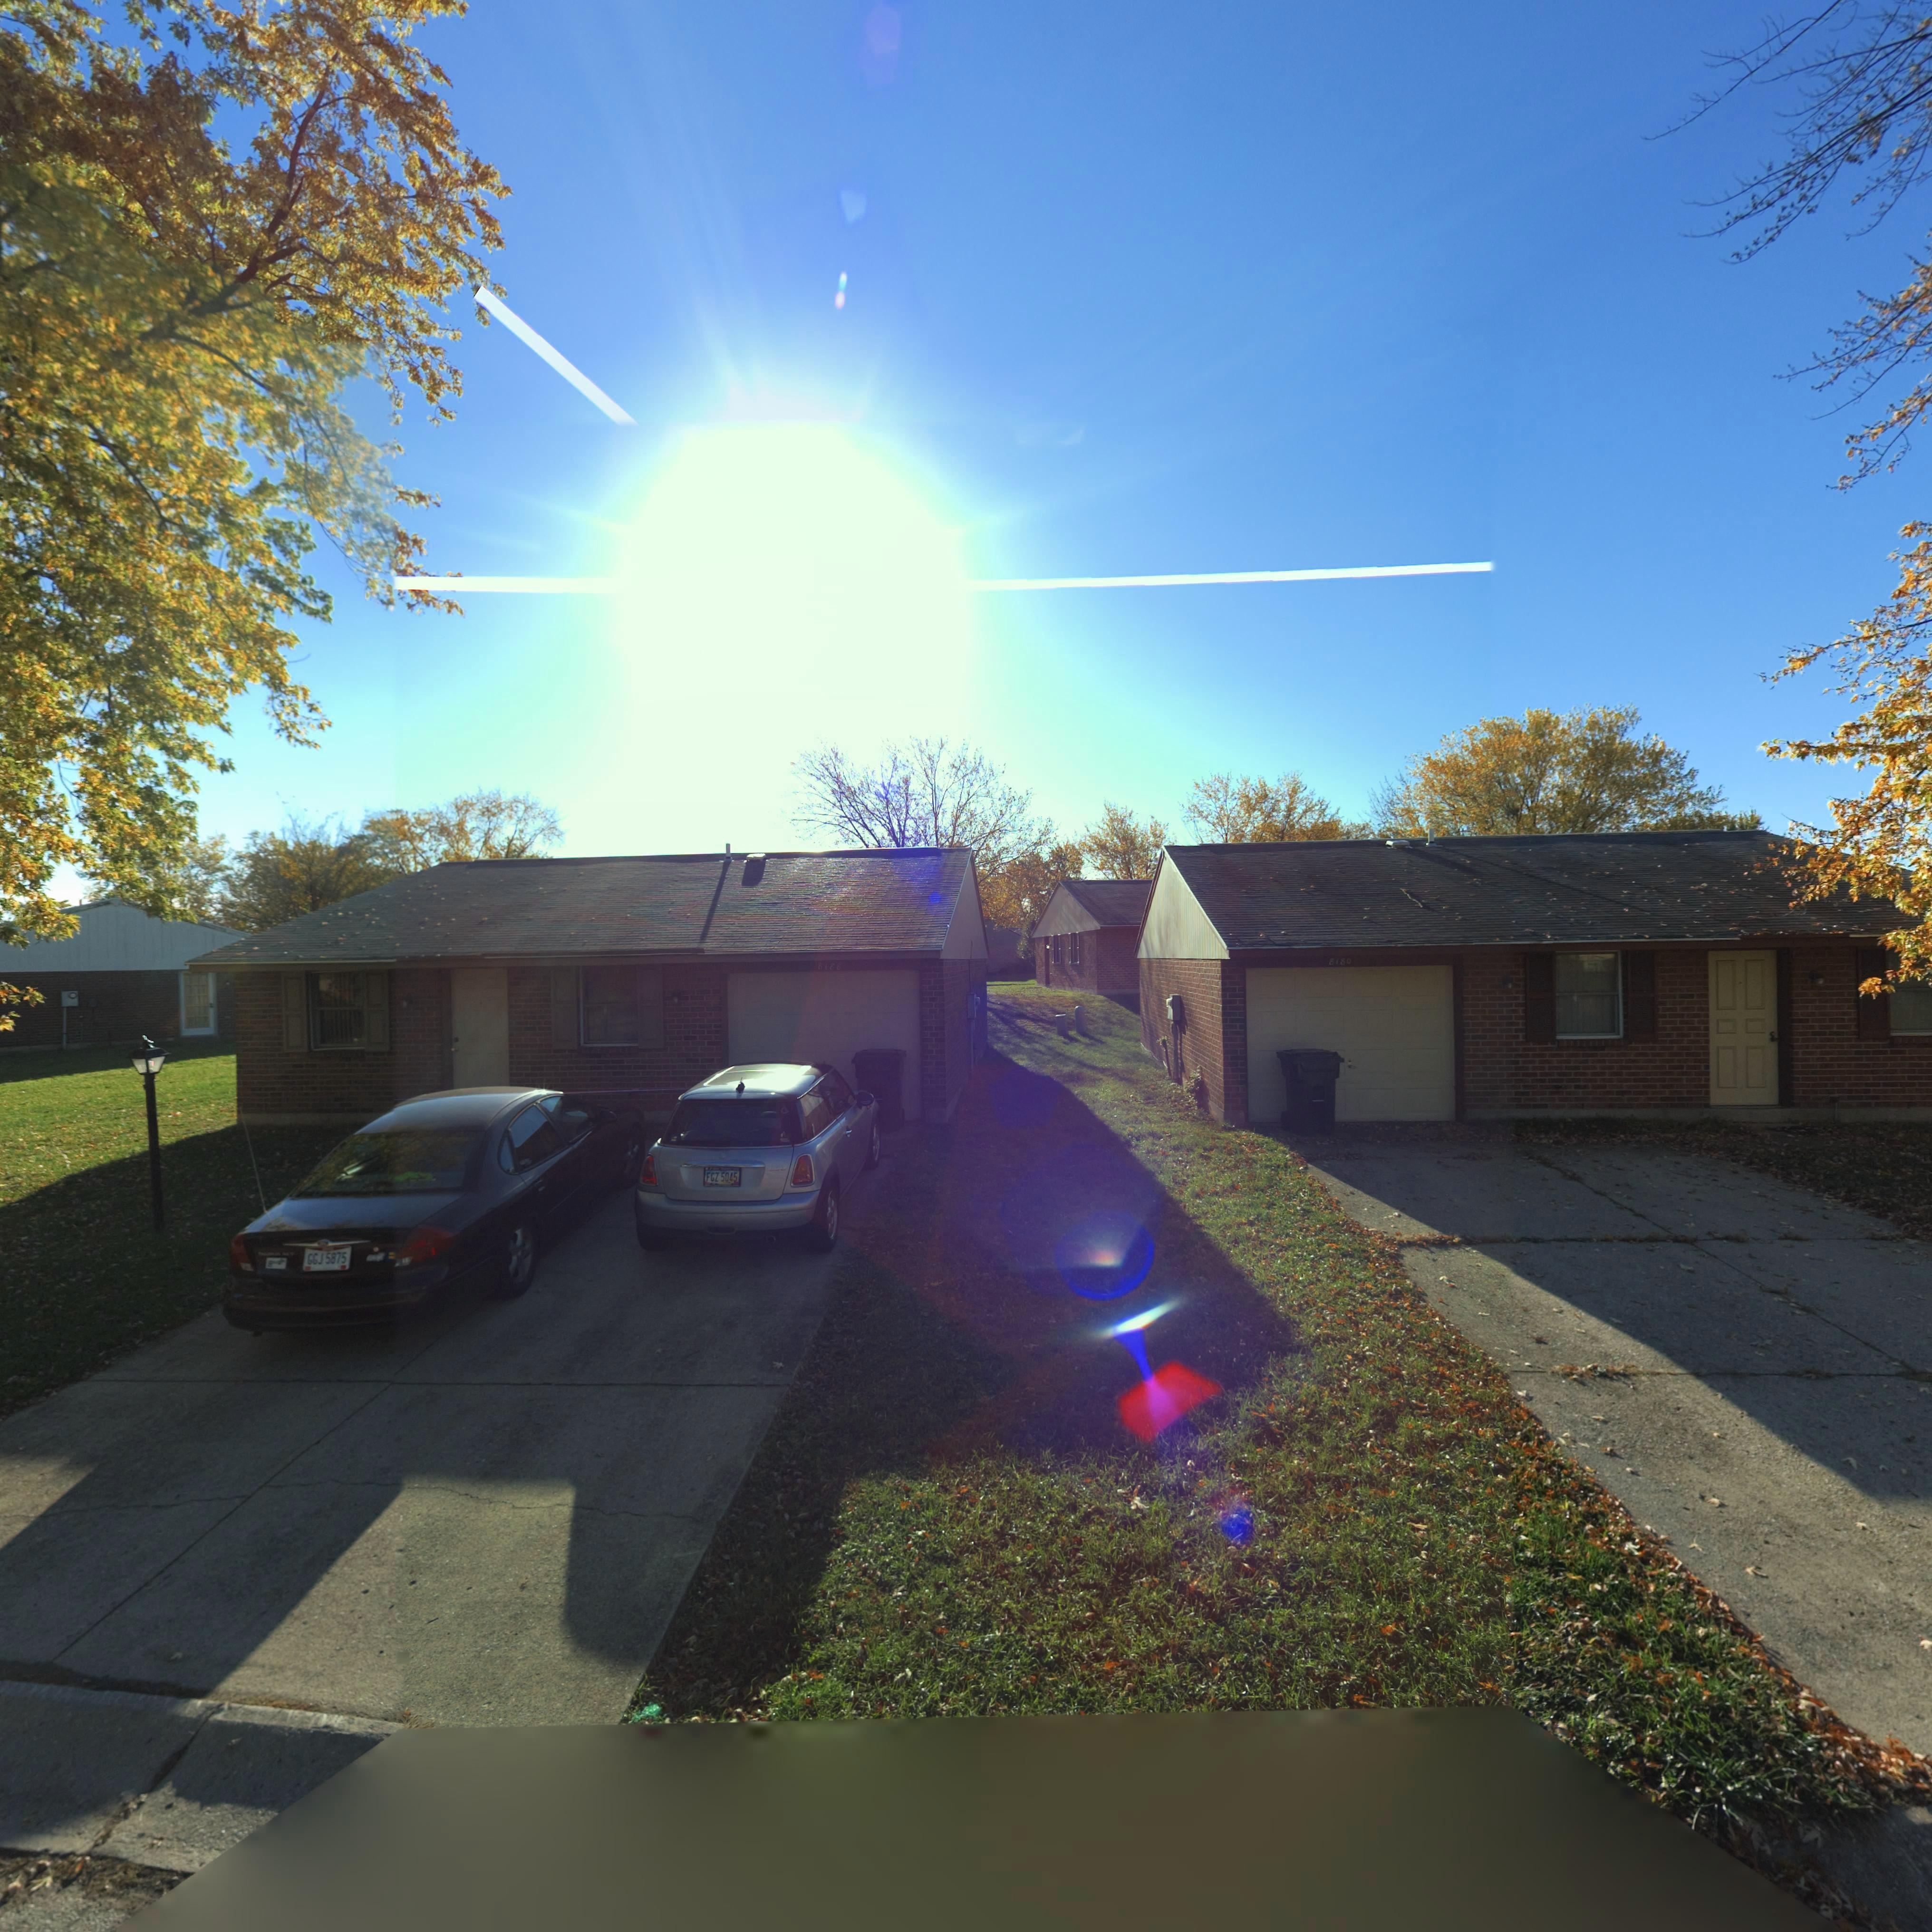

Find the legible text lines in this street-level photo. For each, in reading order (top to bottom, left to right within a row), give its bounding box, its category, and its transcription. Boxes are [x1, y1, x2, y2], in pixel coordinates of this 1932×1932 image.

[816, 962, 843, 971] StreetNumber: 8188
[1329, 957, 1352, 966] StreetNumber: 8180